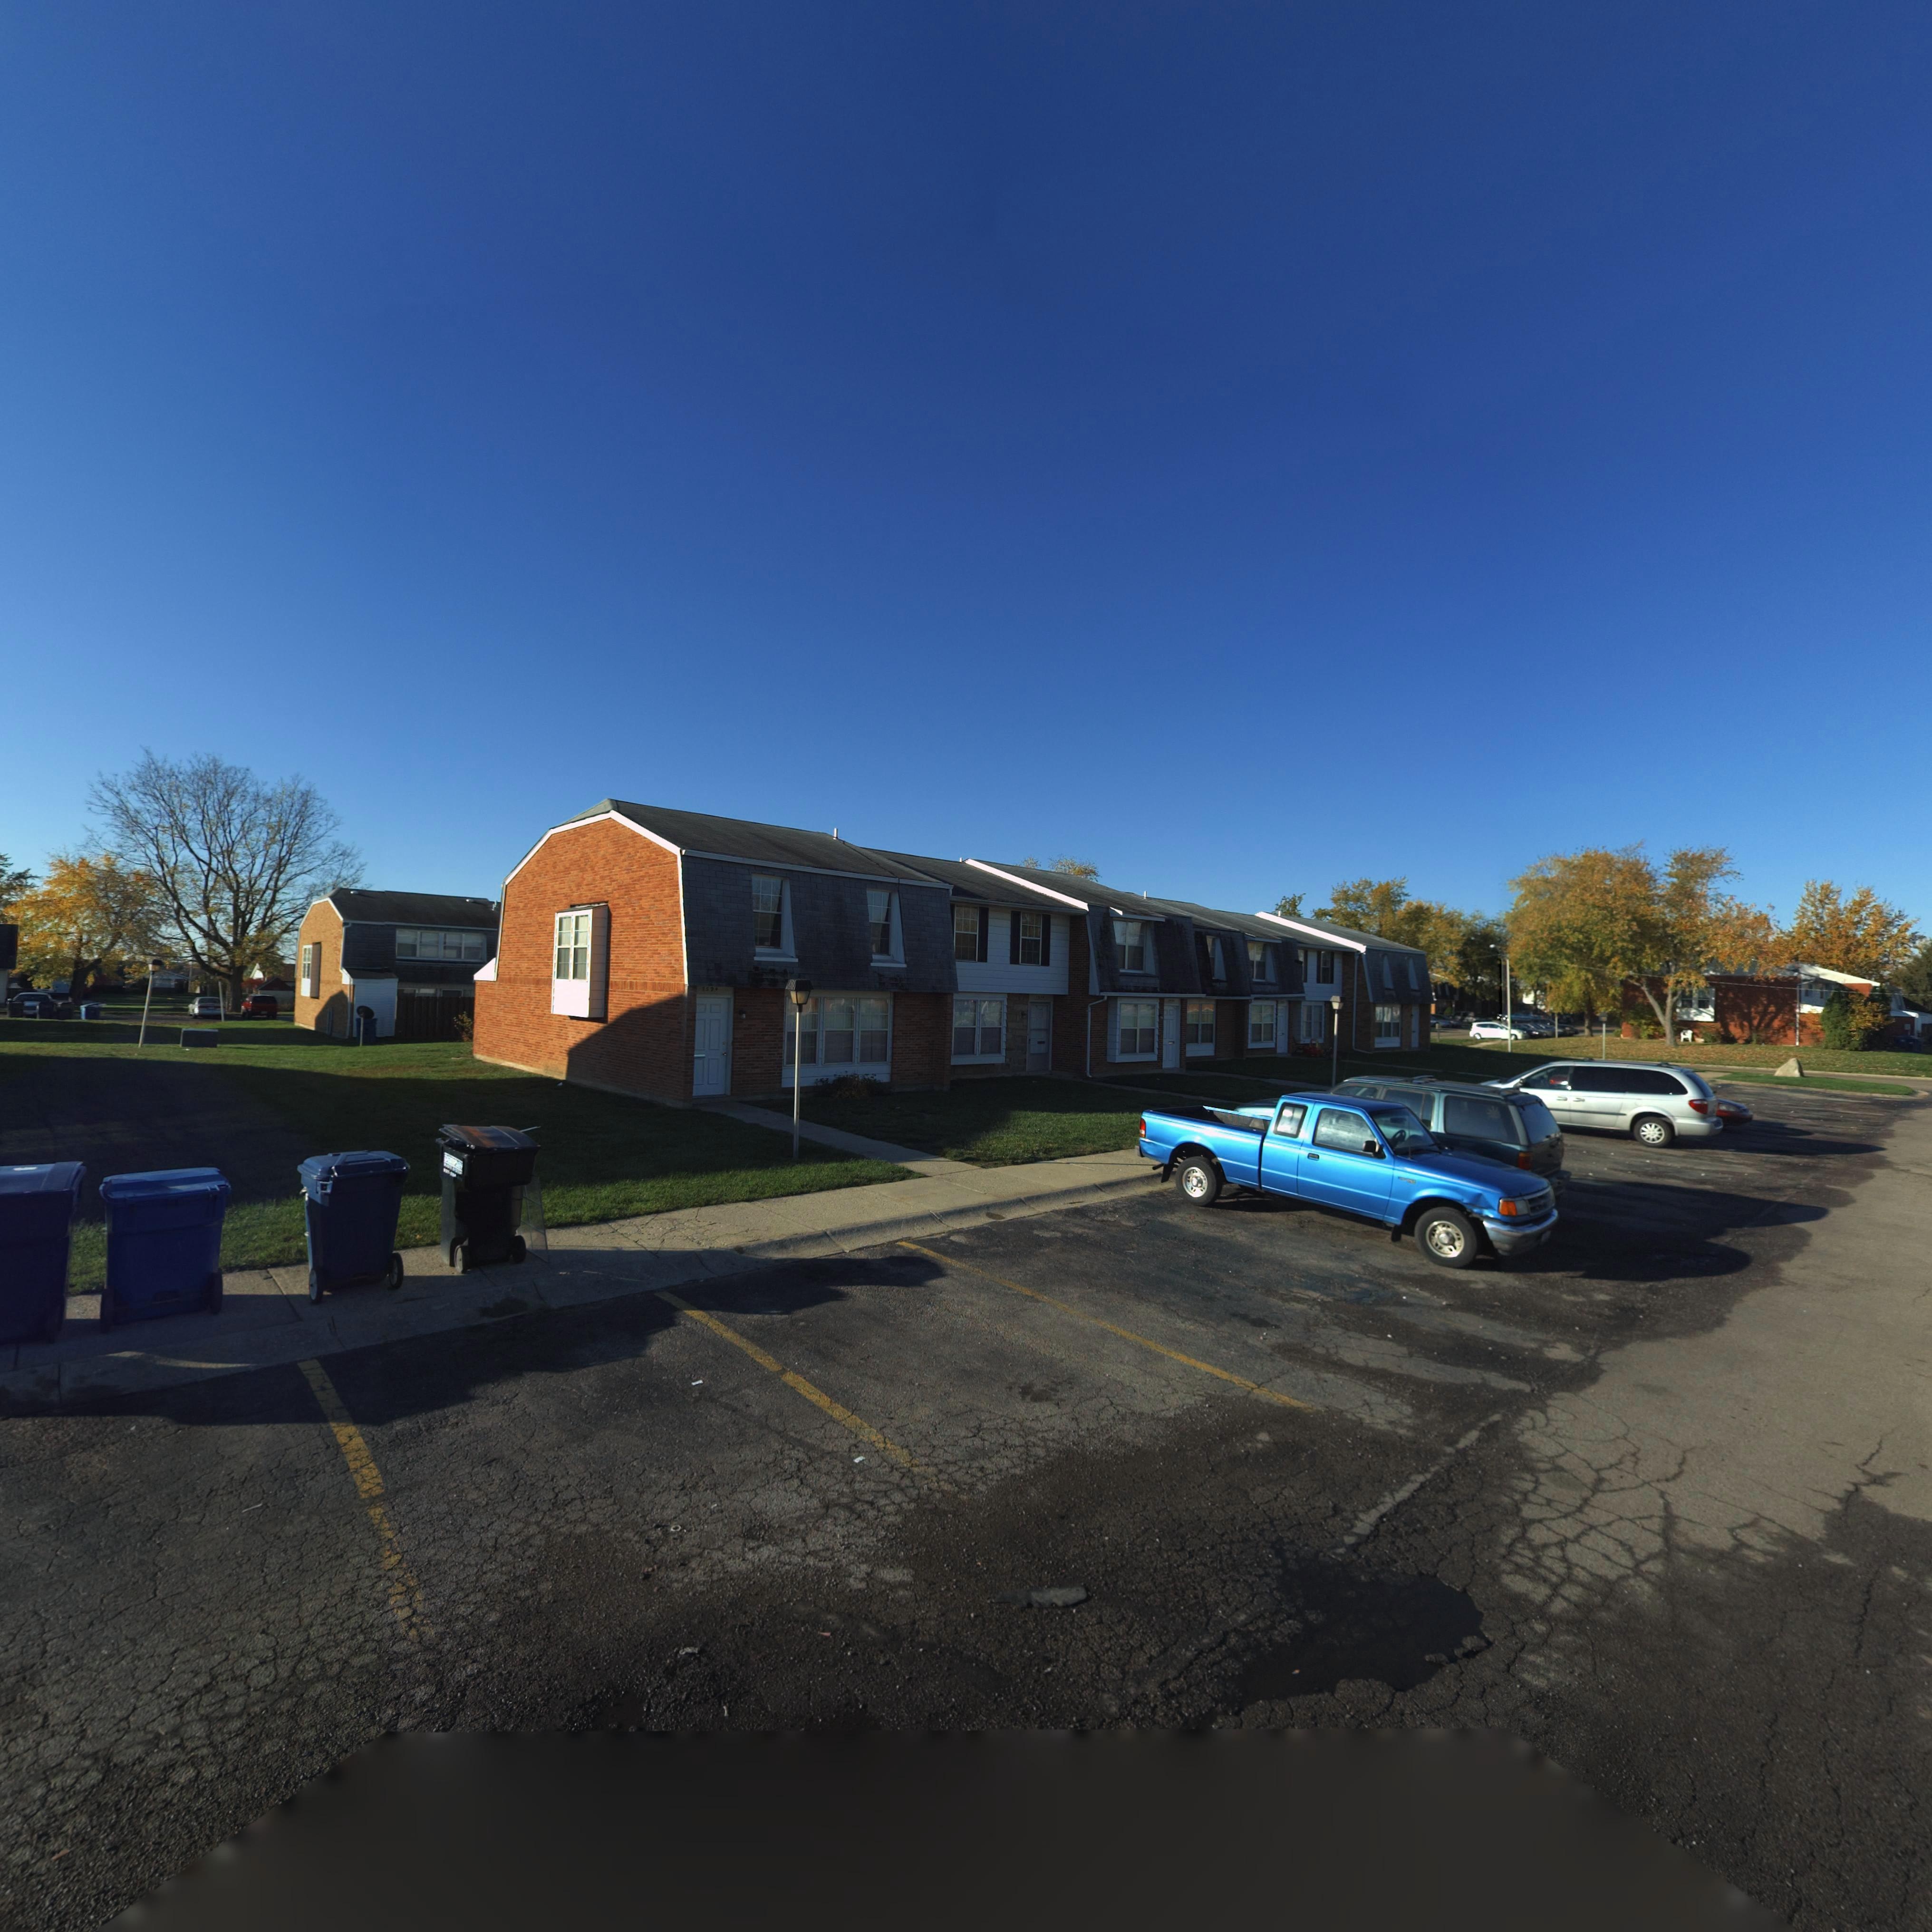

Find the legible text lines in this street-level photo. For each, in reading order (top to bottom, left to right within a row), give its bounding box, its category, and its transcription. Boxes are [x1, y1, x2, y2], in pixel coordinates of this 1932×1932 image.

[701, 986, 718, 992] StreetNumber: 7594
[1035, 995, 1044, 999] StreetNumber: 75**
[1167, 999, 1175, 1003] StreetNumber: 7**6